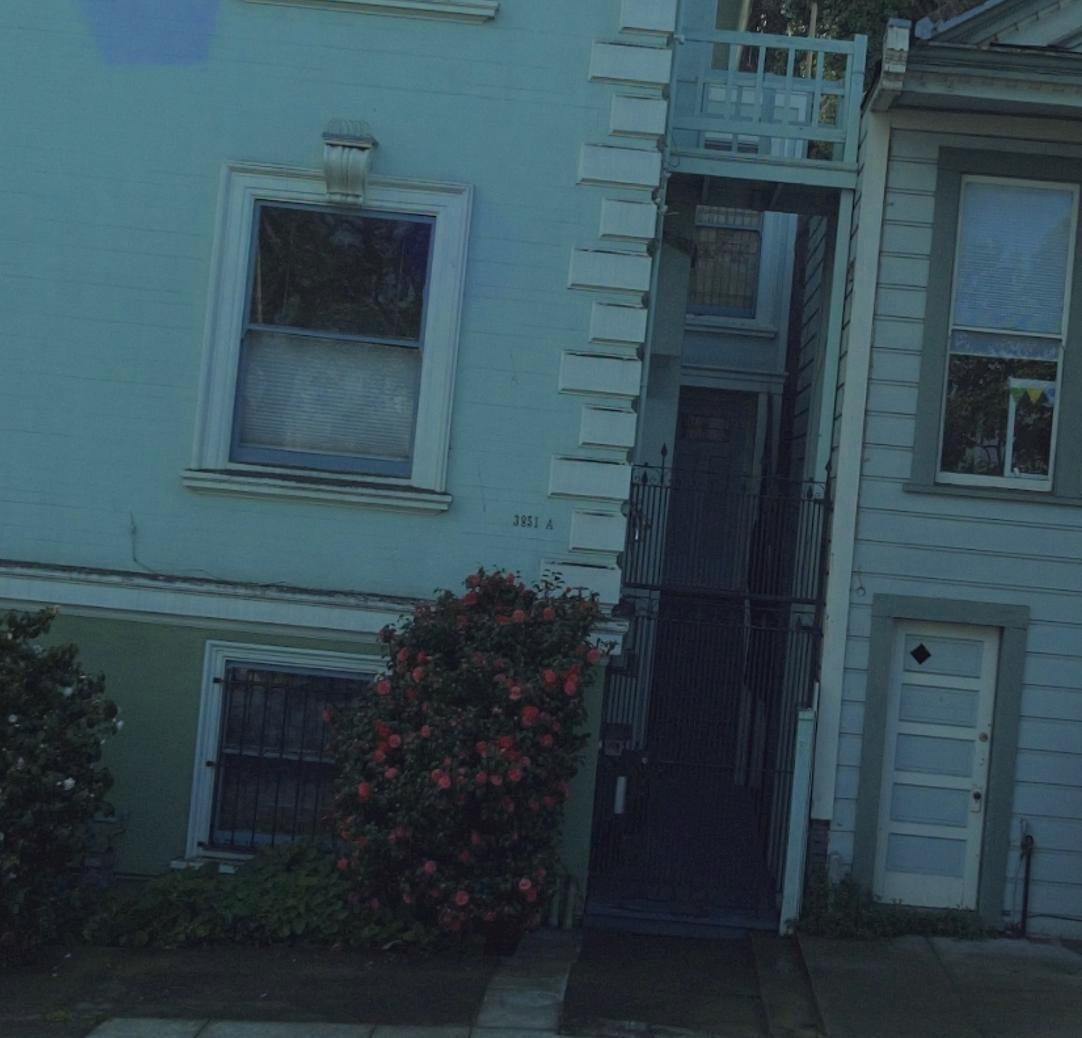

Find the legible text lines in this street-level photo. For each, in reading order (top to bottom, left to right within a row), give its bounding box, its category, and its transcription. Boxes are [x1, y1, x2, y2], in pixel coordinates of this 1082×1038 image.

[511, 513, 555, 532] StreetNumber: 3851A